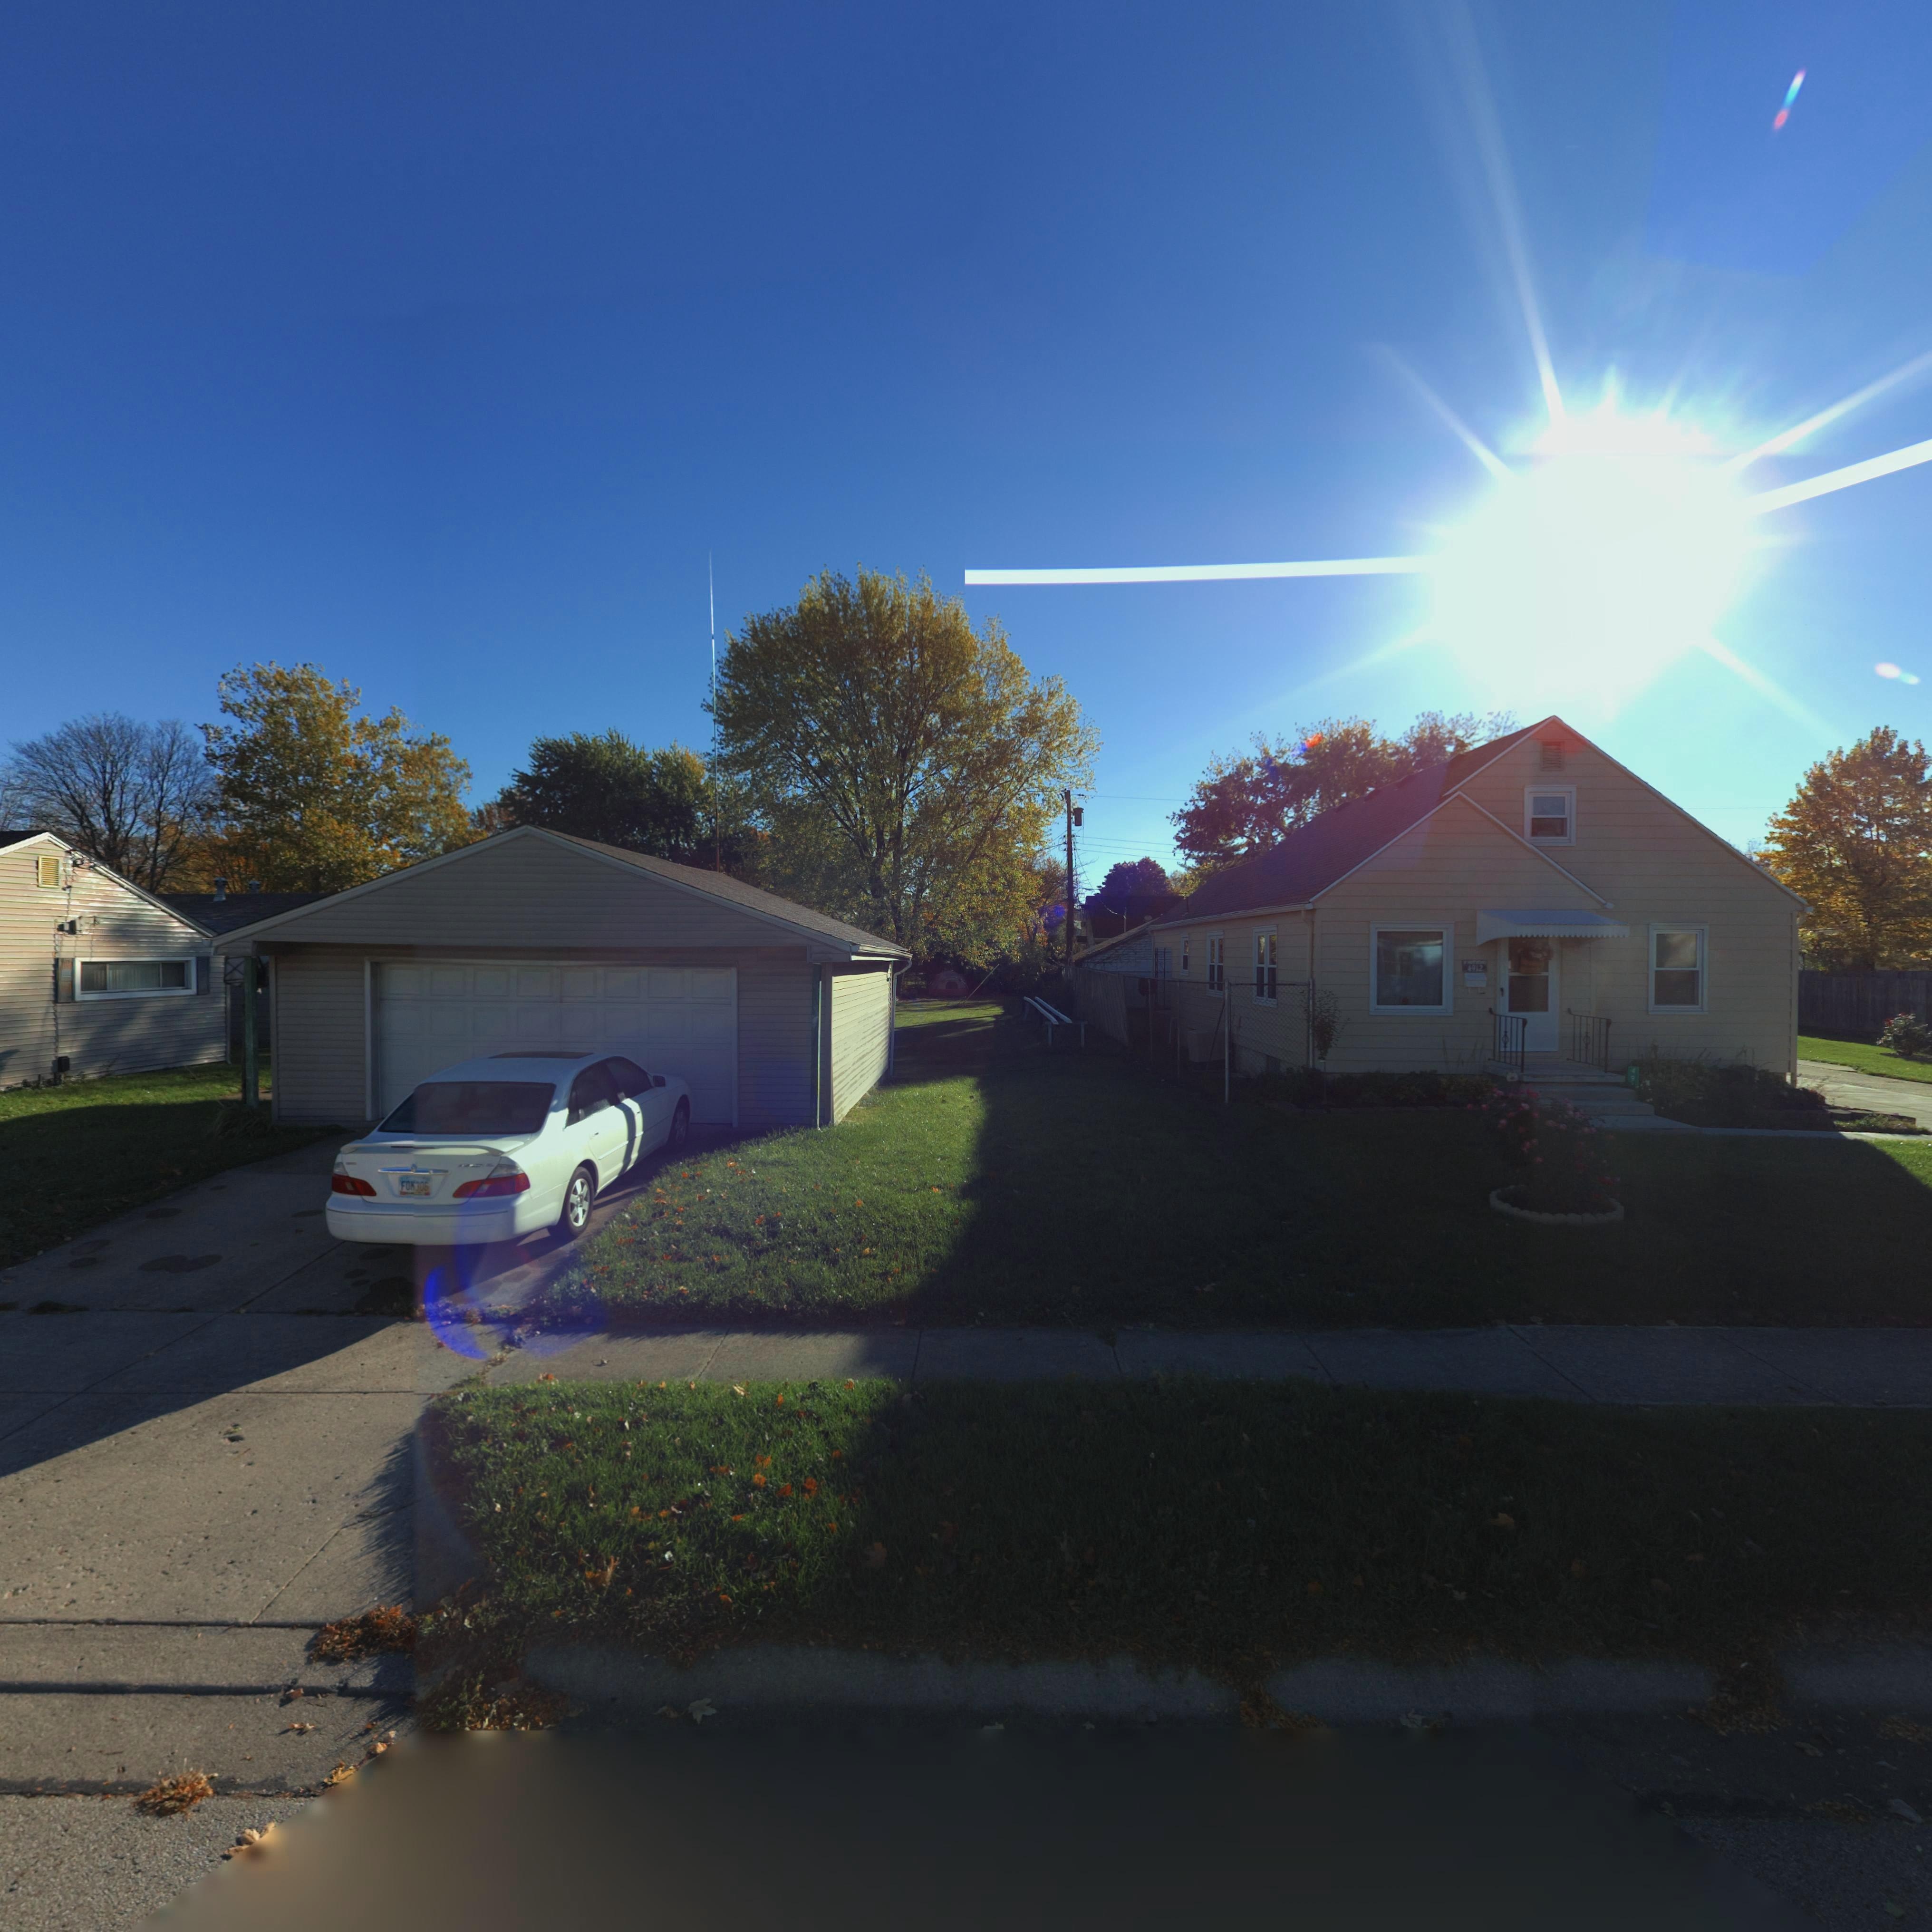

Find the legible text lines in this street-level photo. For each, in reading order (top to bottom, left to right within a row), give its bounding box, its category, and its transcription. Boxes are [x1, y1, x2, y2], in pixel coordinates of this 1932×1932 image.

[1466, 964, 1485, 973] StreetNumber: 4912